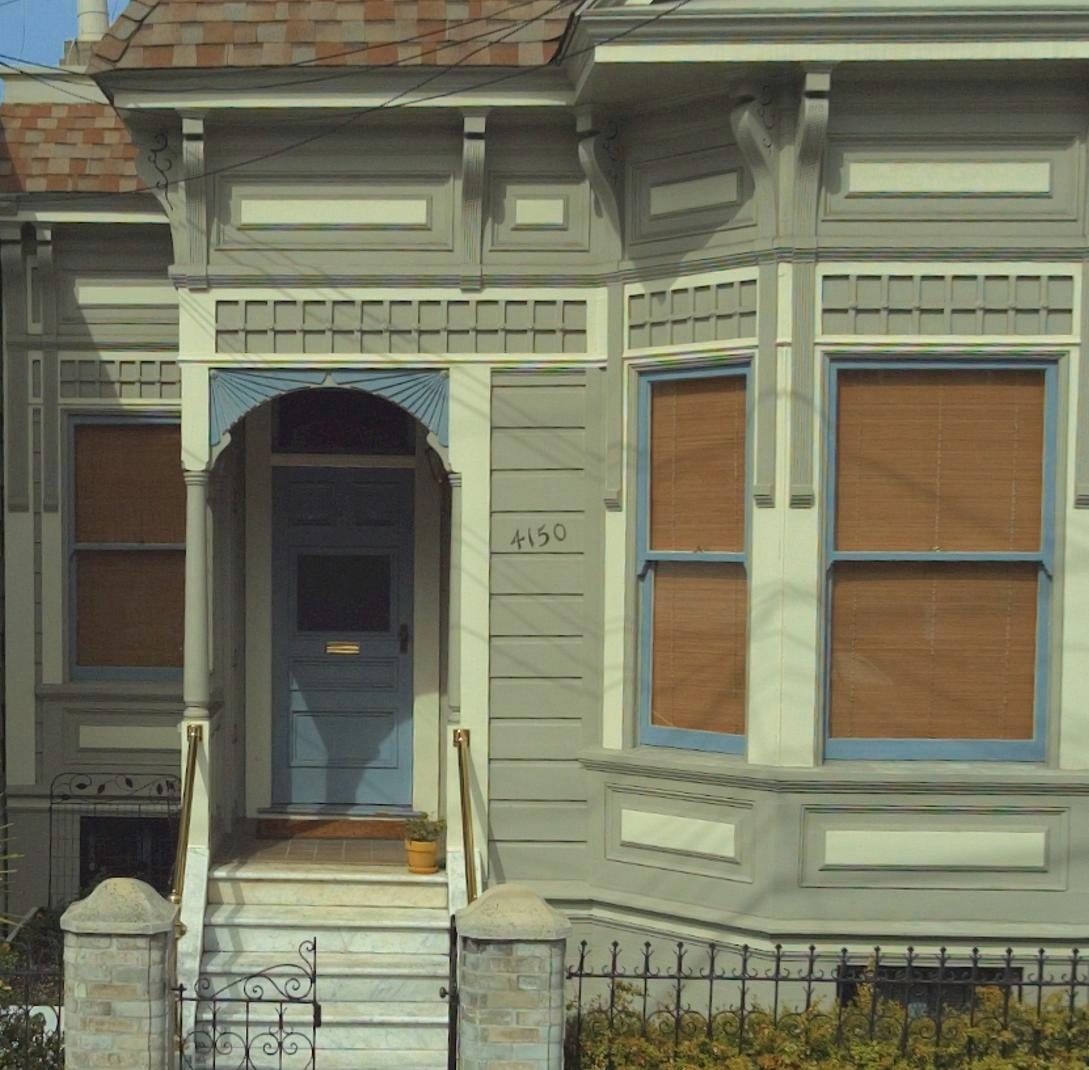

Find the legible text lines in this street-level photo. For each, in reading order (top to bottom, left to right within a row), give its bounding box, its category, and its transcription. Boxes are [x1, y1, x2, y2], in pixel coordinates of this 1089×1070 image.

[510, 520, 567, 552] StreetNumber: 4150